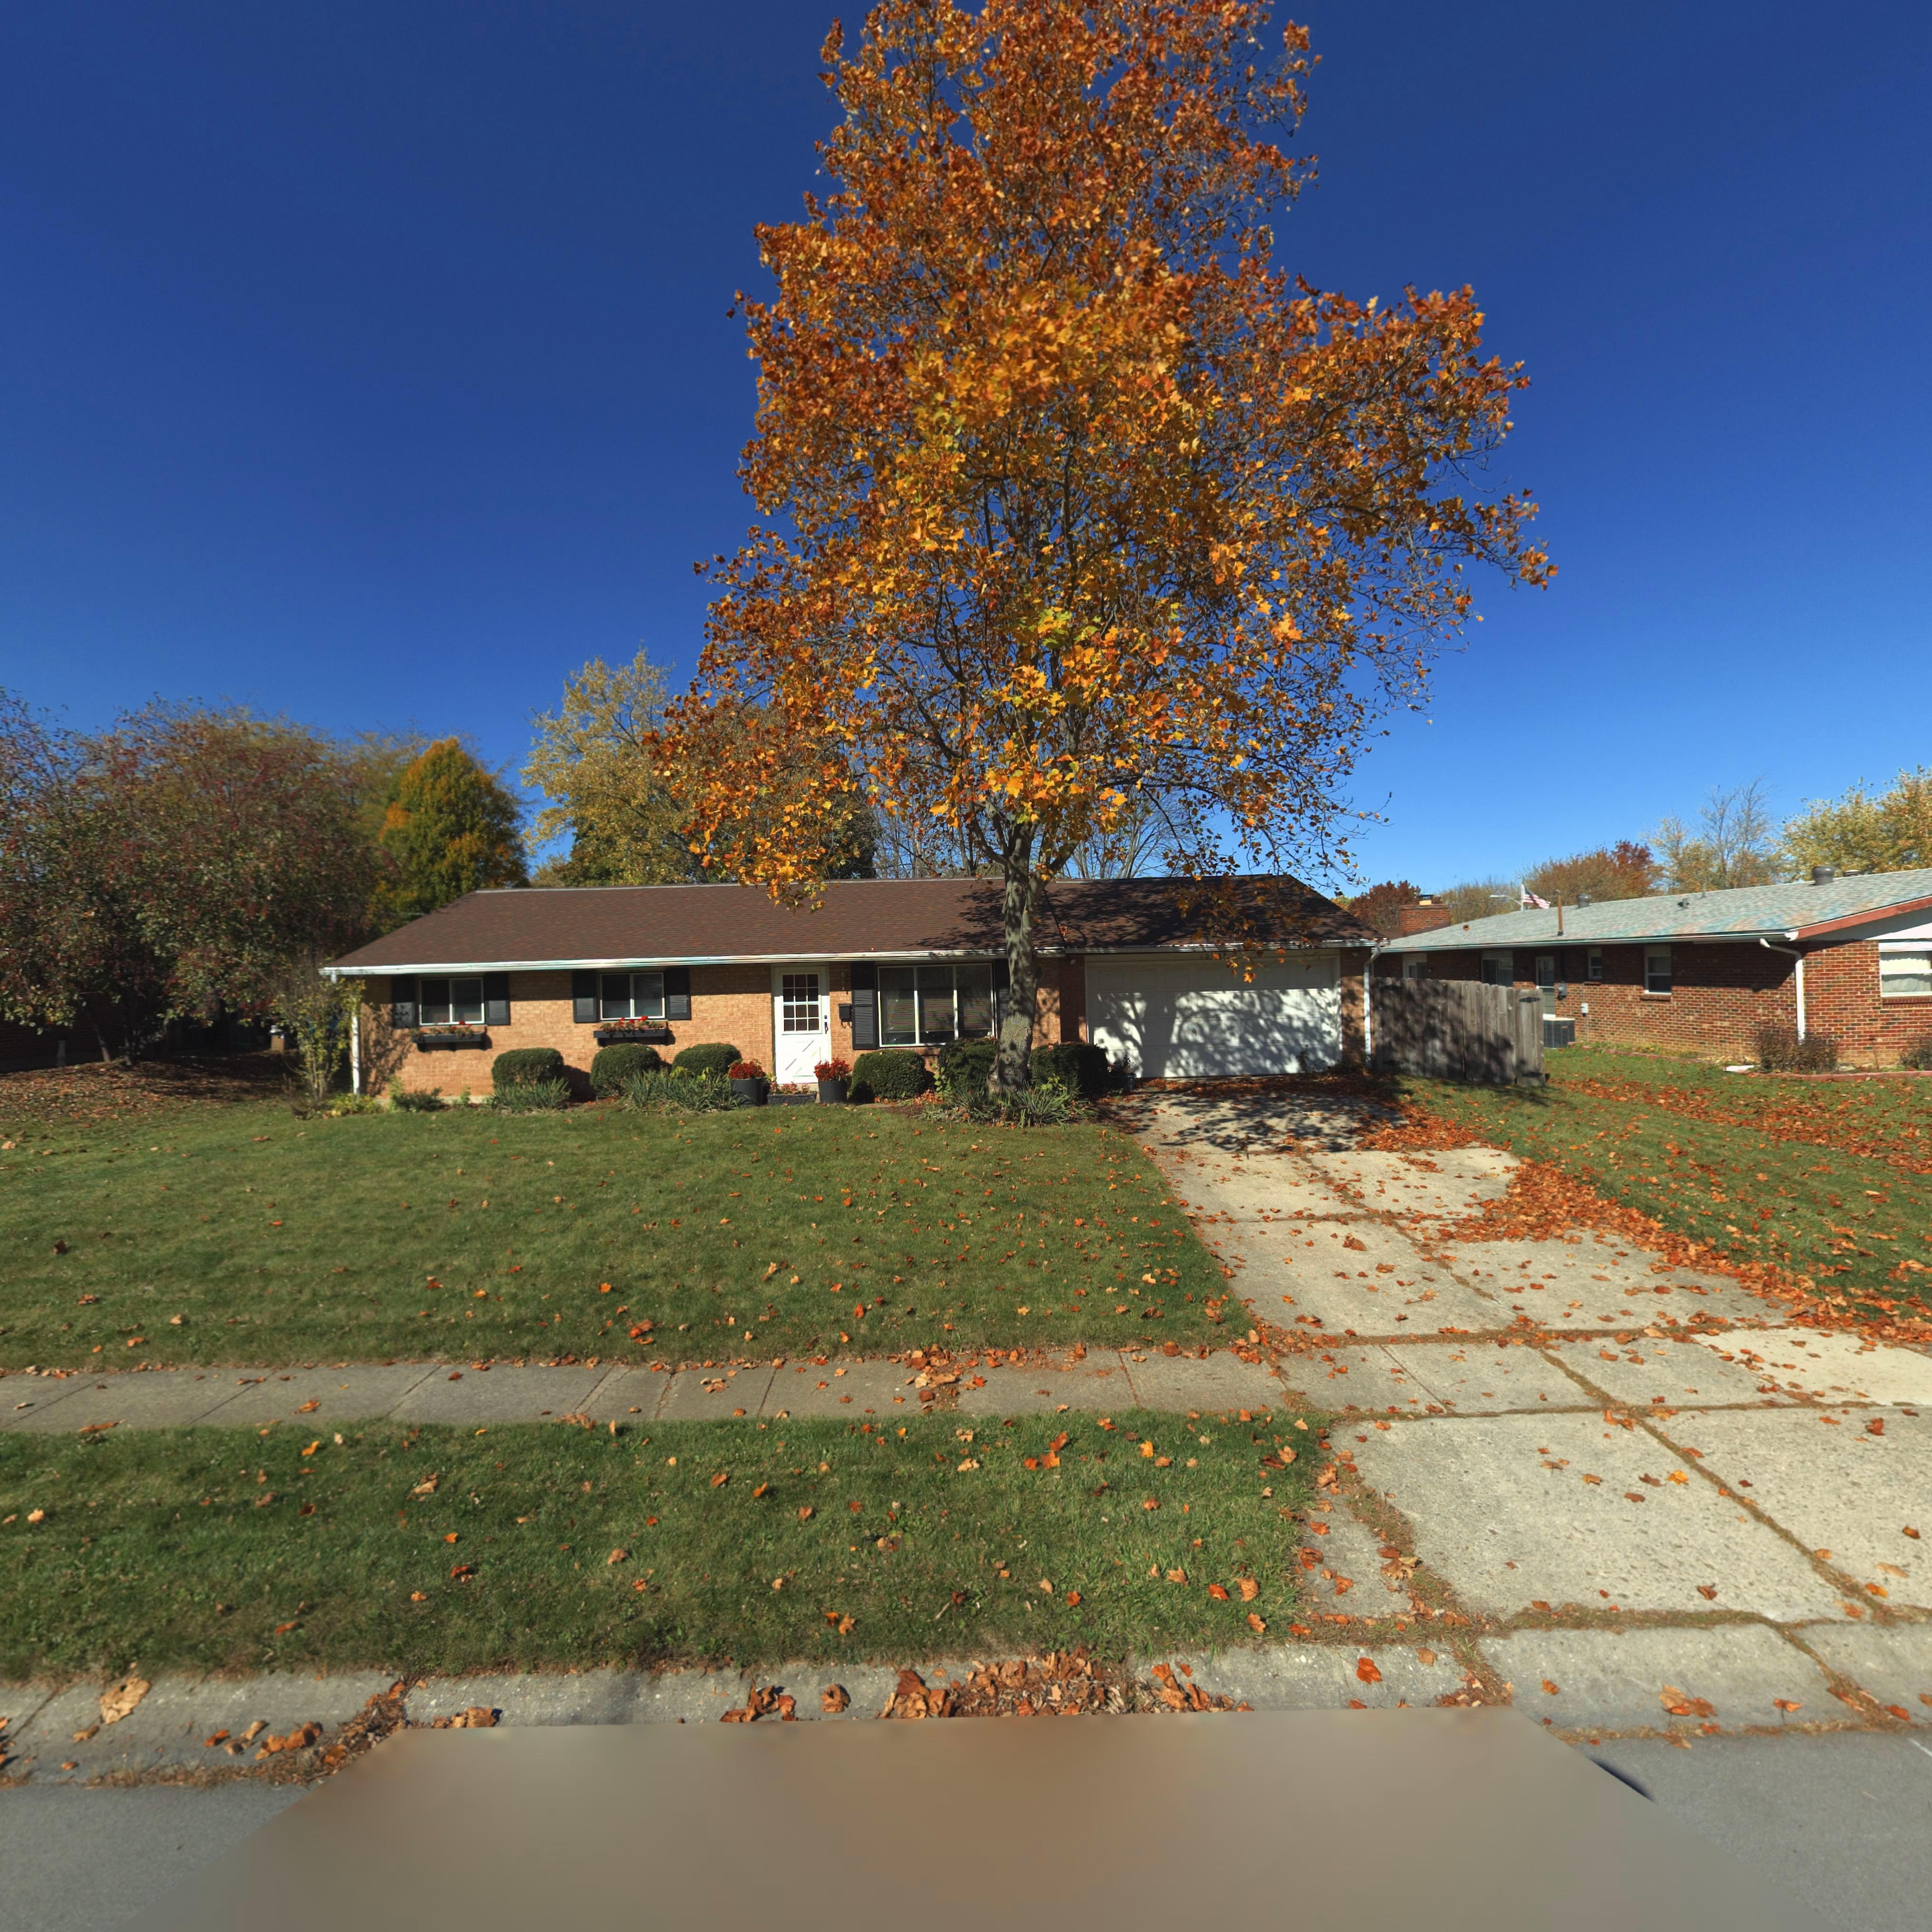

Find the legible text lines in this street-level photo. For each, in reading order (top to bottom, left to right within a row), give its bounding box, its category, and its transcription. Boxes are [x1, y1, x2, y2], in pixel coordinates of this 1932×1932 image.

[1200, 953, 1209, 959] StreetNumber: 10